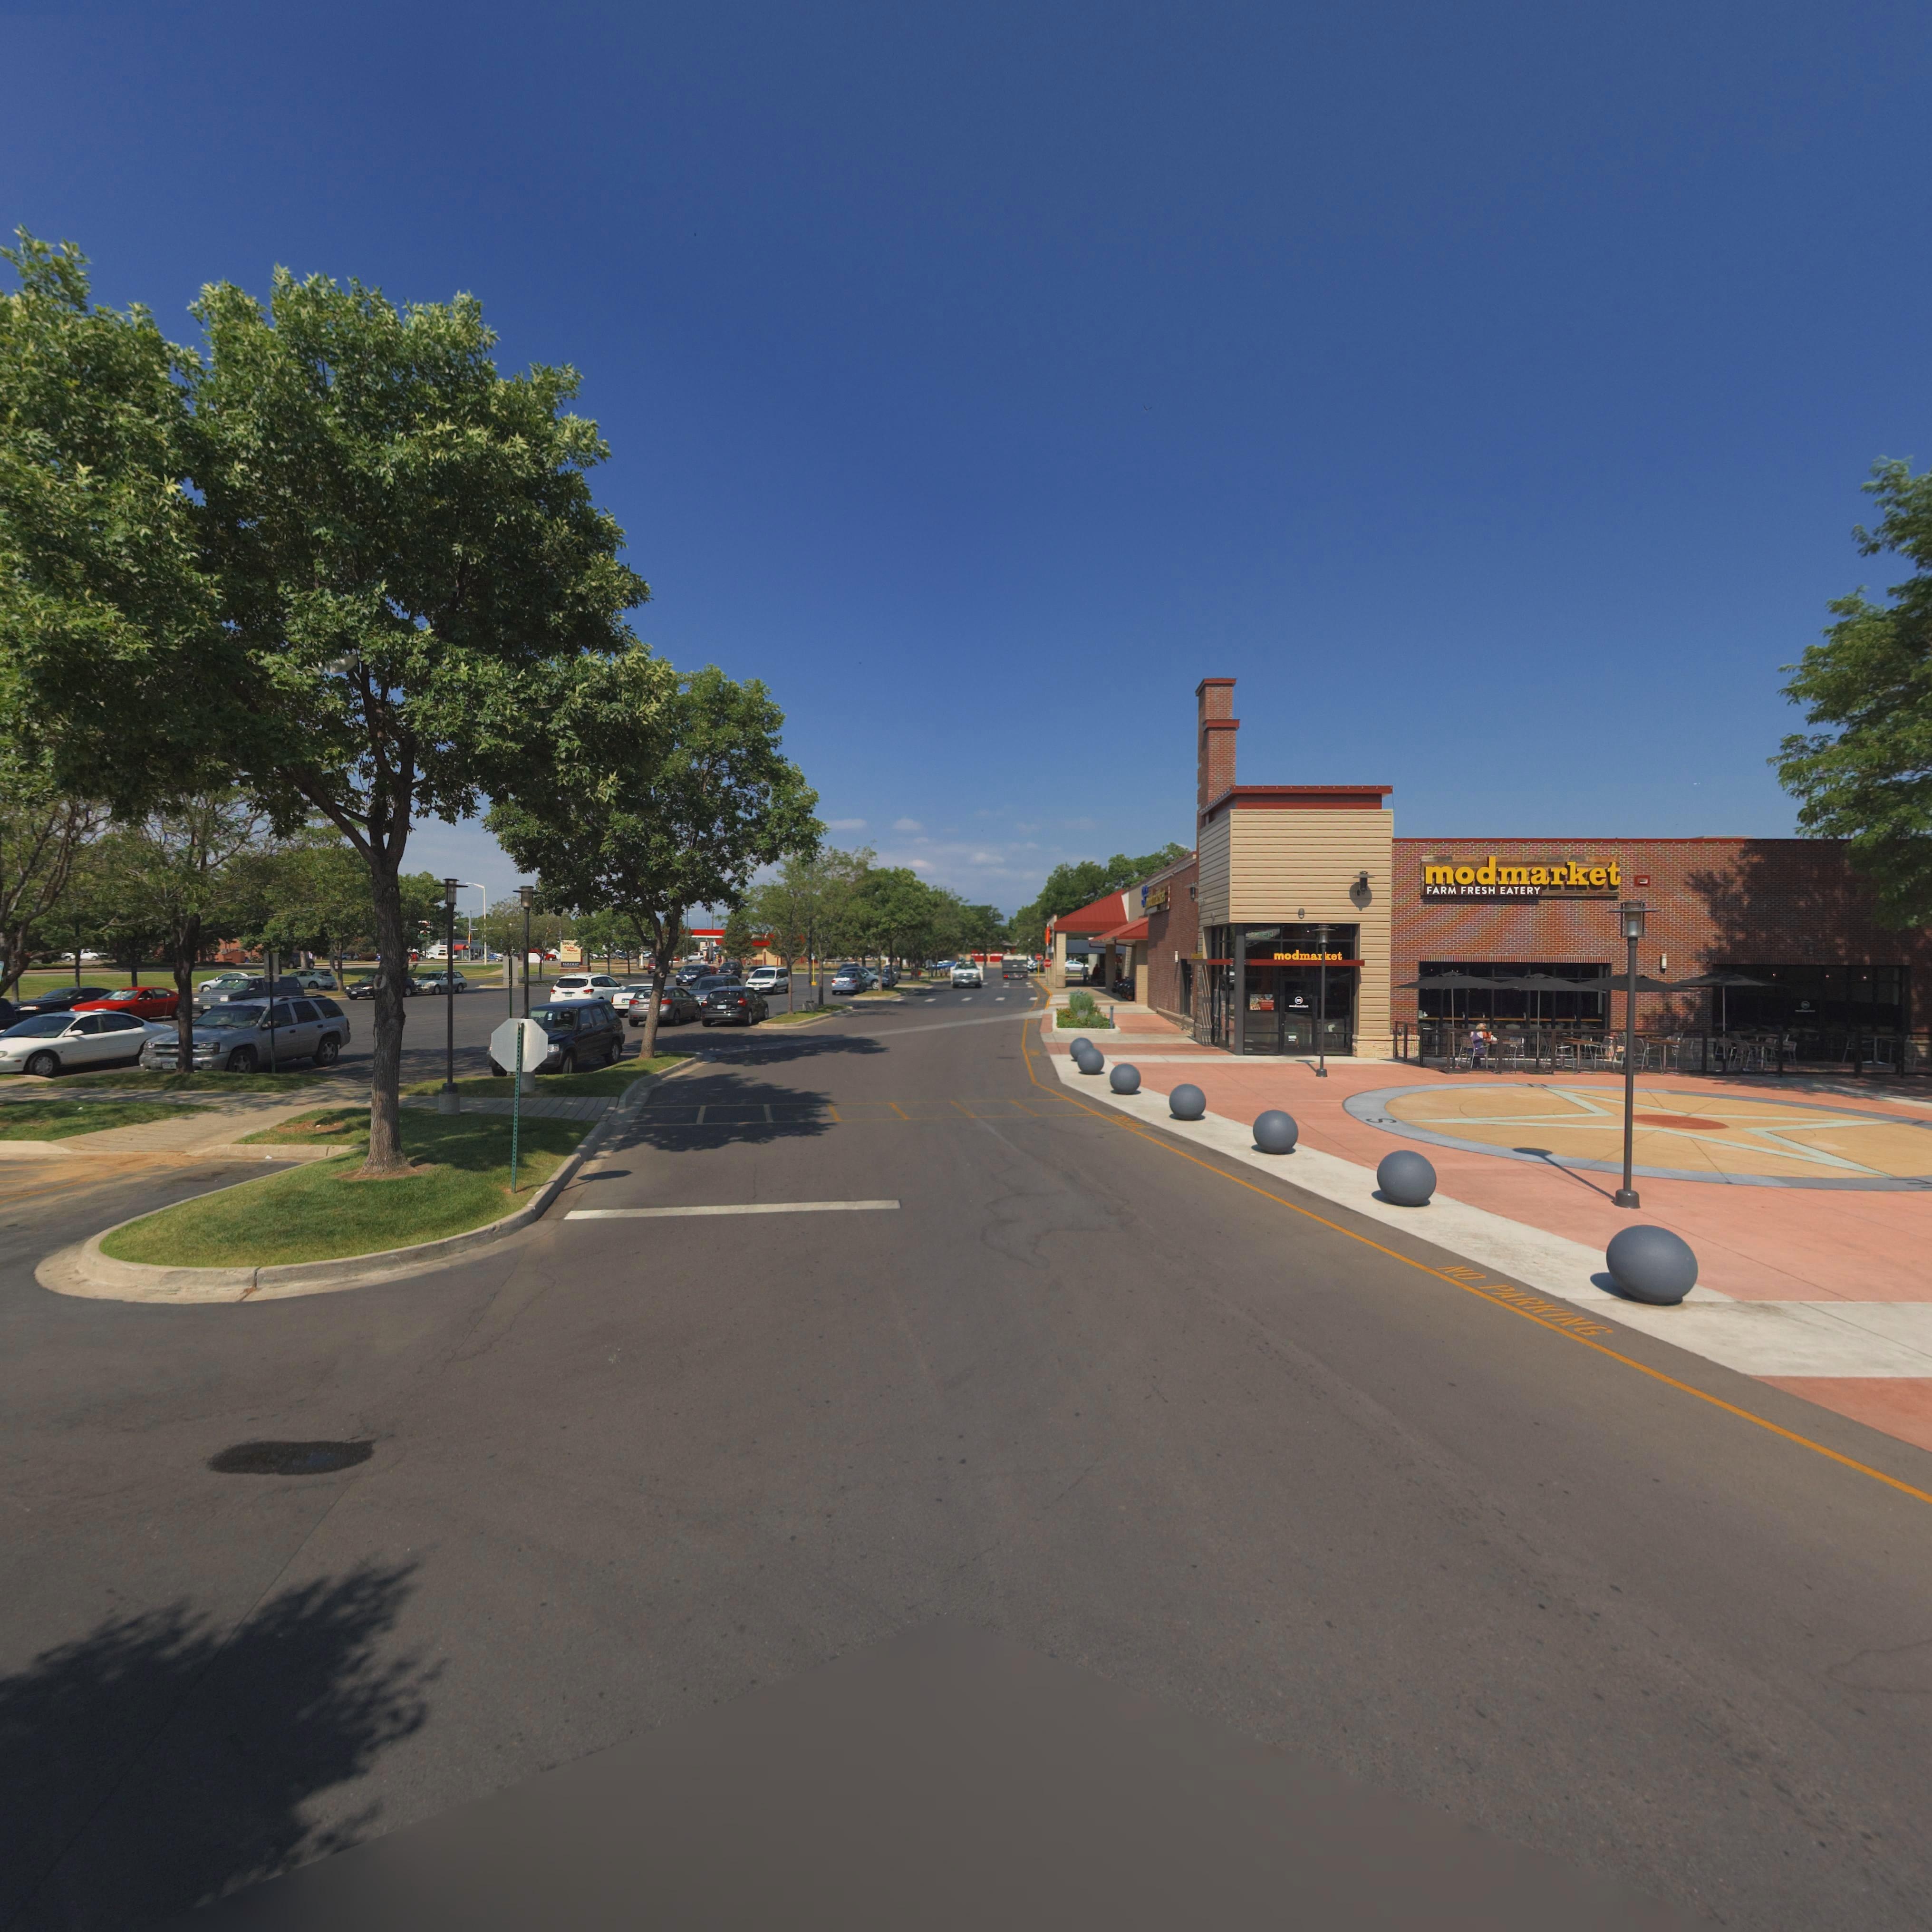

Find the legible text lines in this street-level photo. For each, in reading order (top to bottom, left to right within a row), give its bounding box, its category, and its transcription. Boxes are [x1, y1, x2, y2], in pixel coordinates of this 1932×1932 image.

[1424, 855, 1622, 886] BusinessName: modmarket
[1426, 886, 1541, 895] BusinessName: FARM FRESH EATERY
[1140, 886, 1146, 908] BusinessName: s
[1146, 886, 1165, 909] BusinessName: ******ket
[562, 941, 570, 945] BusinessName: BIG
[1274, 949, 1343, 960] BusinessName: modmarket
[1296, 998, 1301, 1002] BusinessName: m